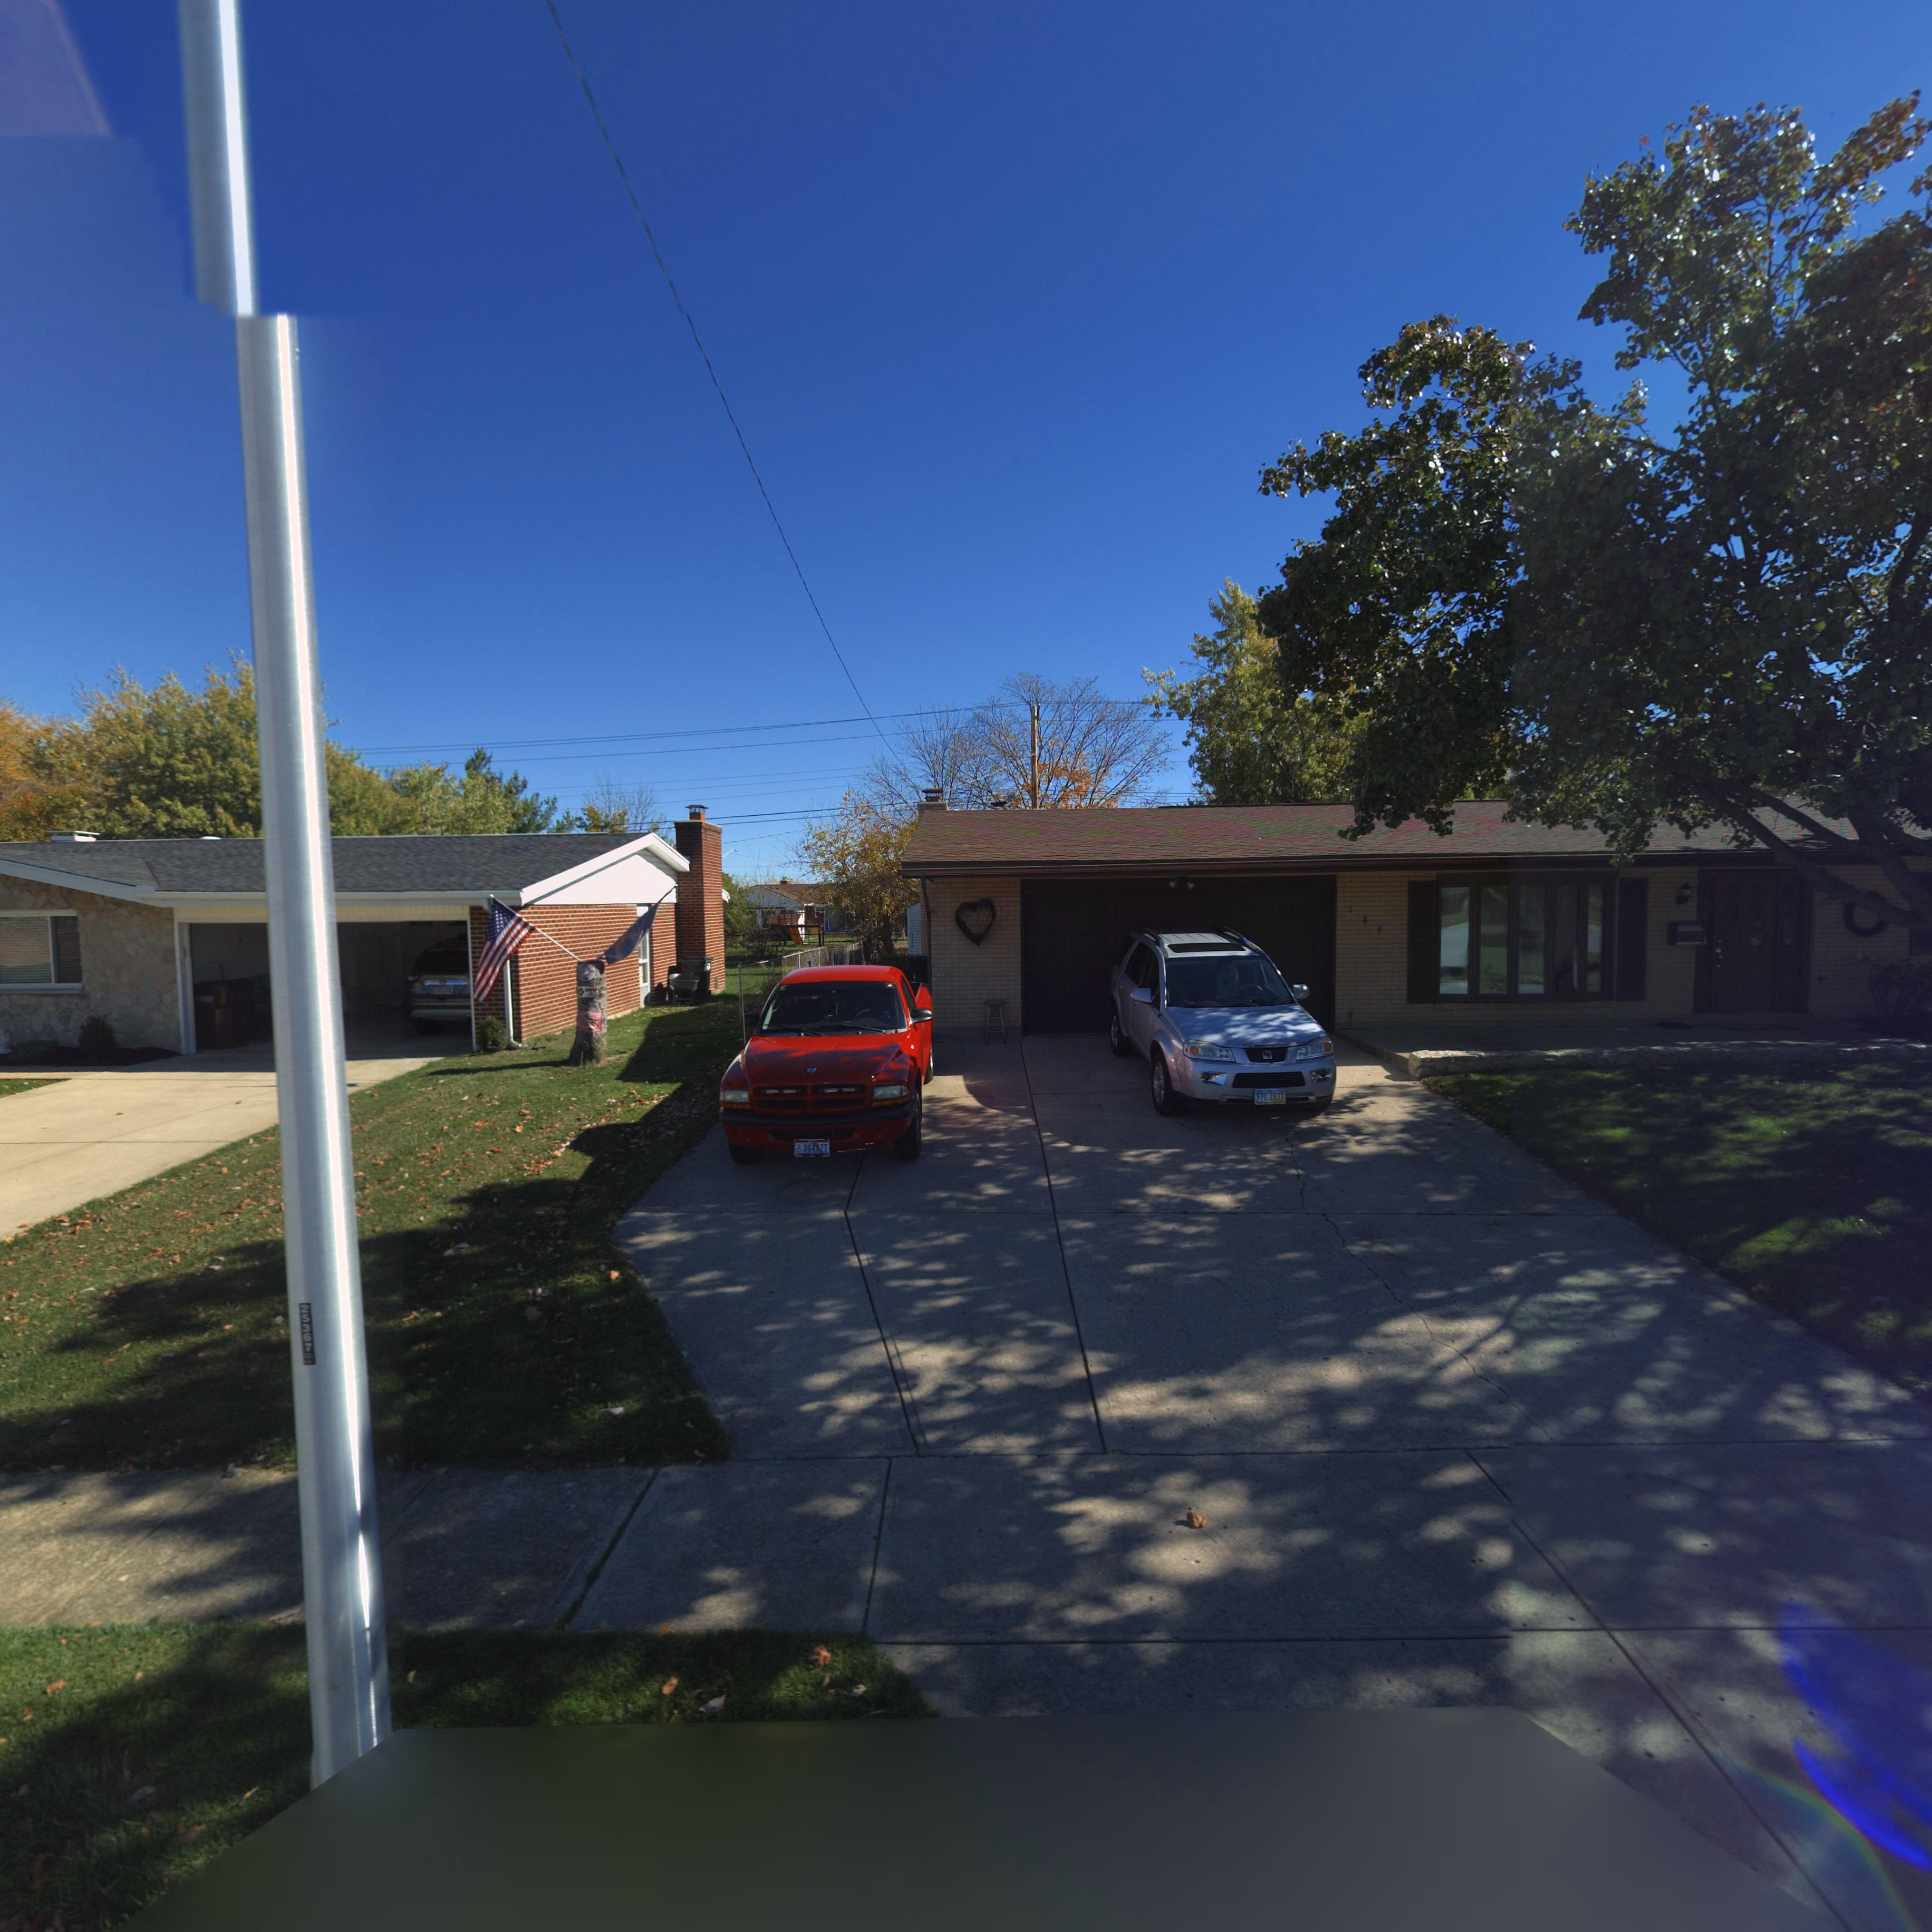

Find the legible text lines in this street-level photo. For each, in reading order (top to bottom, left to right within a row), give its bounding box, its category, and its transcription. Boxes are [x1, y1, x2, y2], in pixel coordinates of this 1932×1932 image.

[1349, 905, 1382, 936] StreetNumber: 189